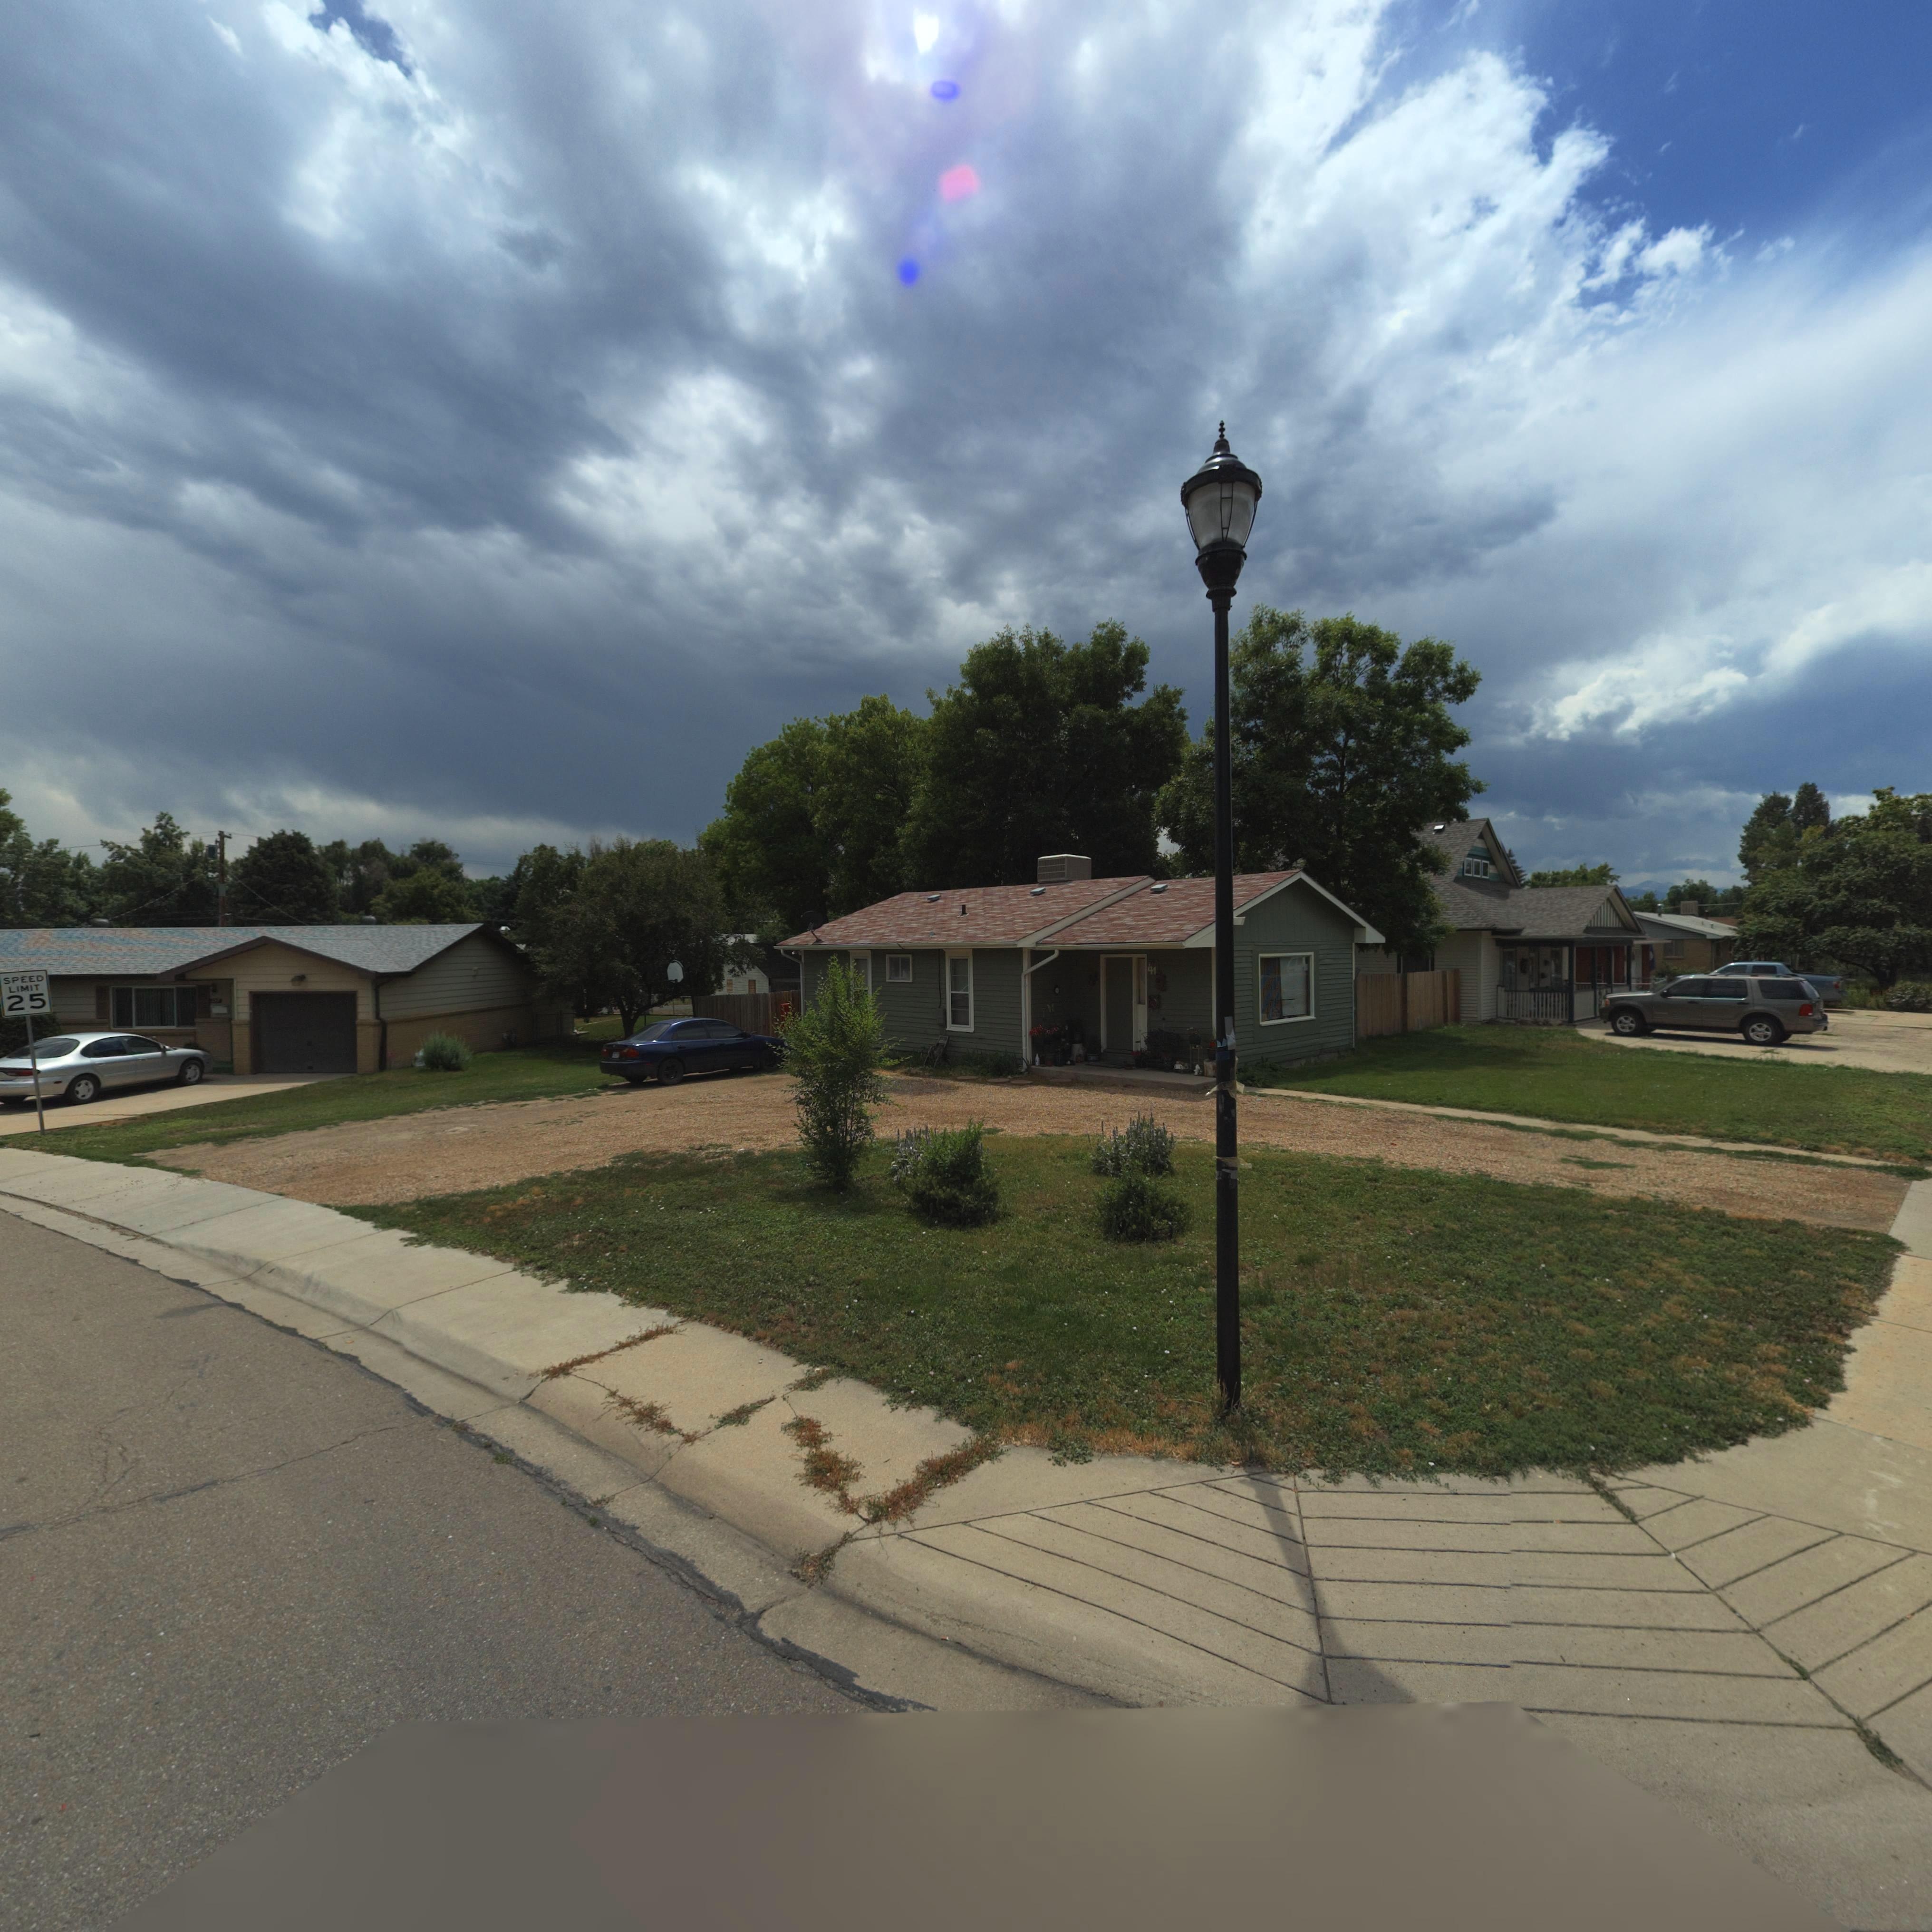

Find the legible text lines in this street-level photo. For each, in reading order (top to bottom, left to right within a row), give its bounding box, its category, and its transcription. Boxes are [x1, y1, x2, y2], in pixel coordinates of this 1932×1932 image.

[1147, 966, 1156, 975] StreetNumber: 41